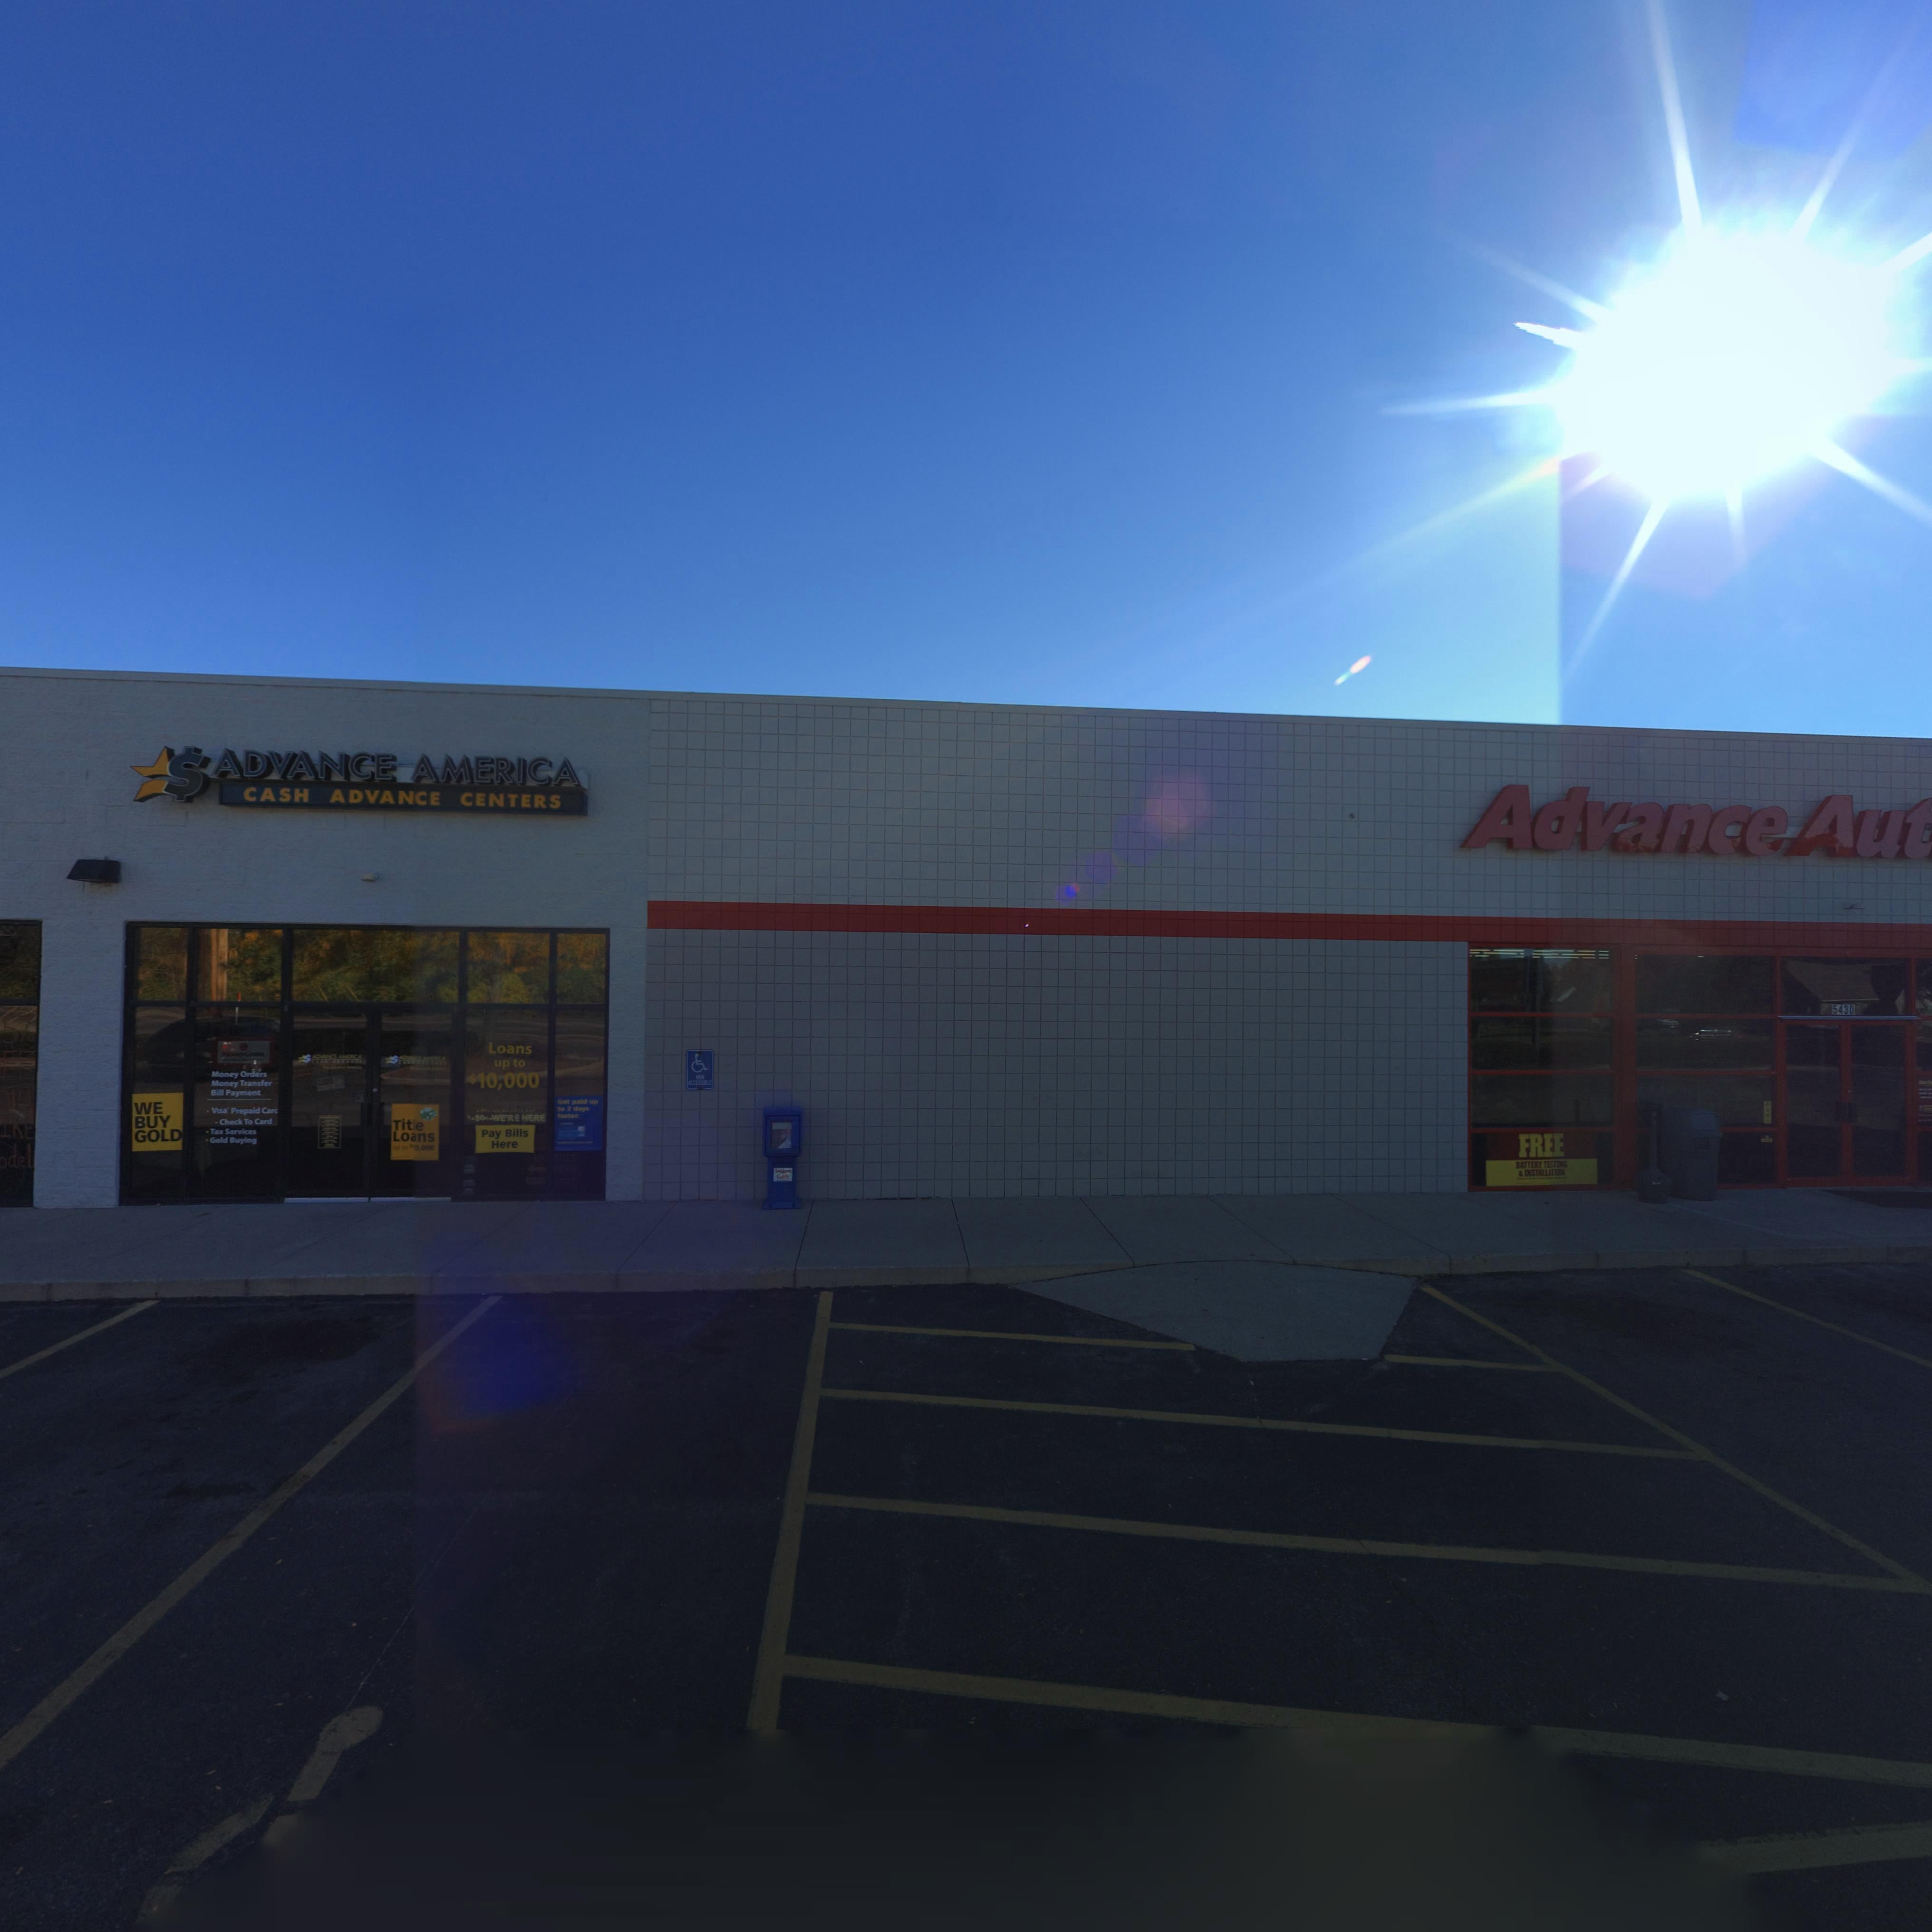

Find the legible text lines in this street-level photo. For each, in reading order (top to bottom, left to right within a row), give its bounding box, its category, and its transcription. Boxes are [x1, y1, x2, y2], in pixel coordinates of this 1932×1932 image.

[1832, 1004, 1855, 1015] StreetNumber: 5430